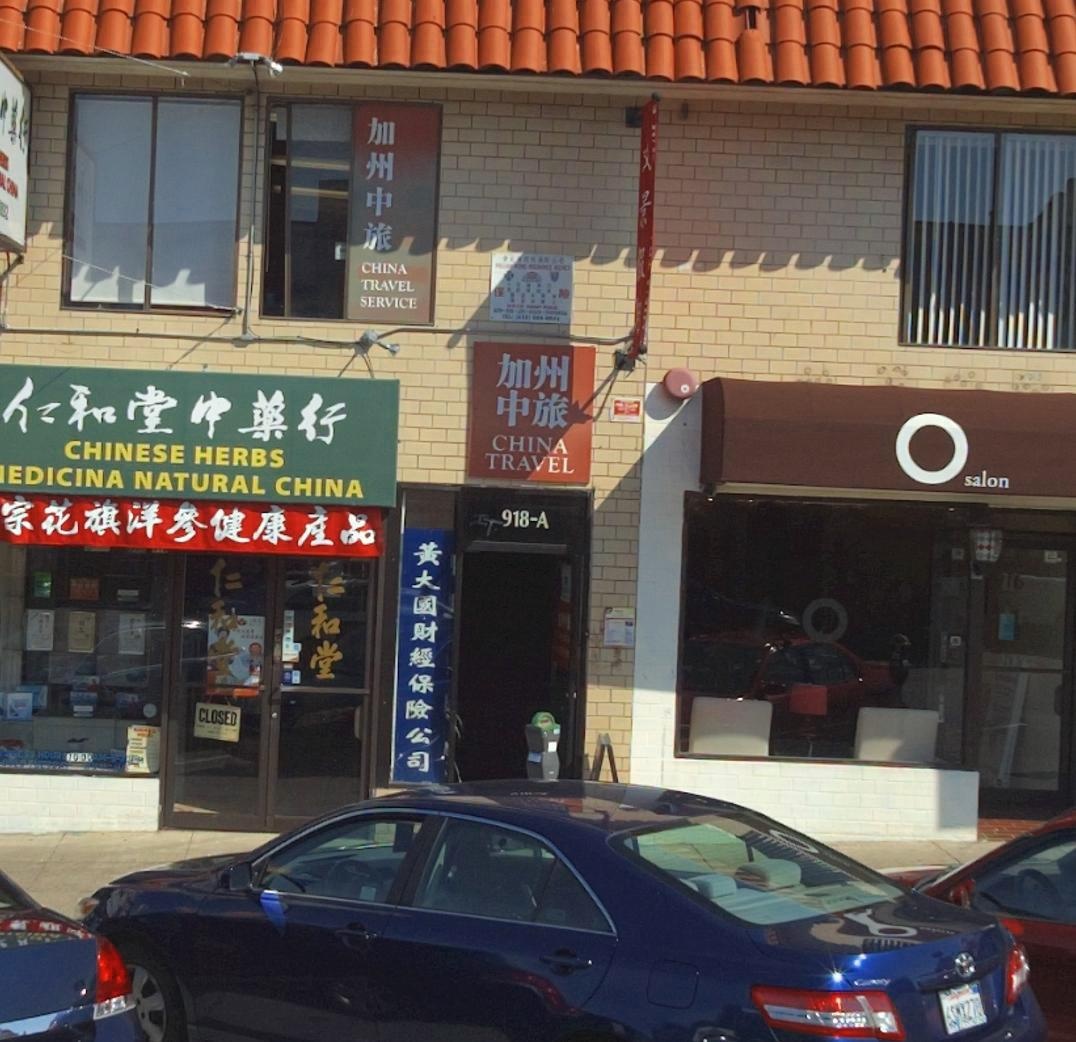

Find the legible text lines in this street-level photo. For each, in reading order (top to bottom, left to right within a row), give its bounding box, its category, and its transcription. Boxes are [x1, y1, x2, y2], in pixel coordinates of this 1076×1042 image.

[360, 258, 412, 277] None: CHINA
[358, 277, 417, 293] None: TRAVEL
[358, 293, 420, 311] None: SERVICE
[63, 437, 286, 470] BusinessName: CHINESE HERBS
[490, 433, 570, 456] BusinessName: CHINA
[483, 451, 577, 475] BusinessName: TRAVEL
[895, 413, 977, 487] BusinessName: O
[7, 461, 366, 500] BusinessName: EDICINA NATURAL CHINA
[963, 468, 1011, 491] BusinessName: salon
[500, 508, 550, 531] StreetNumber: 918-A
[197, 704, 239, 728] None: CLOSED
[37, 749, 107, 764] None: HOURS 10:00AM